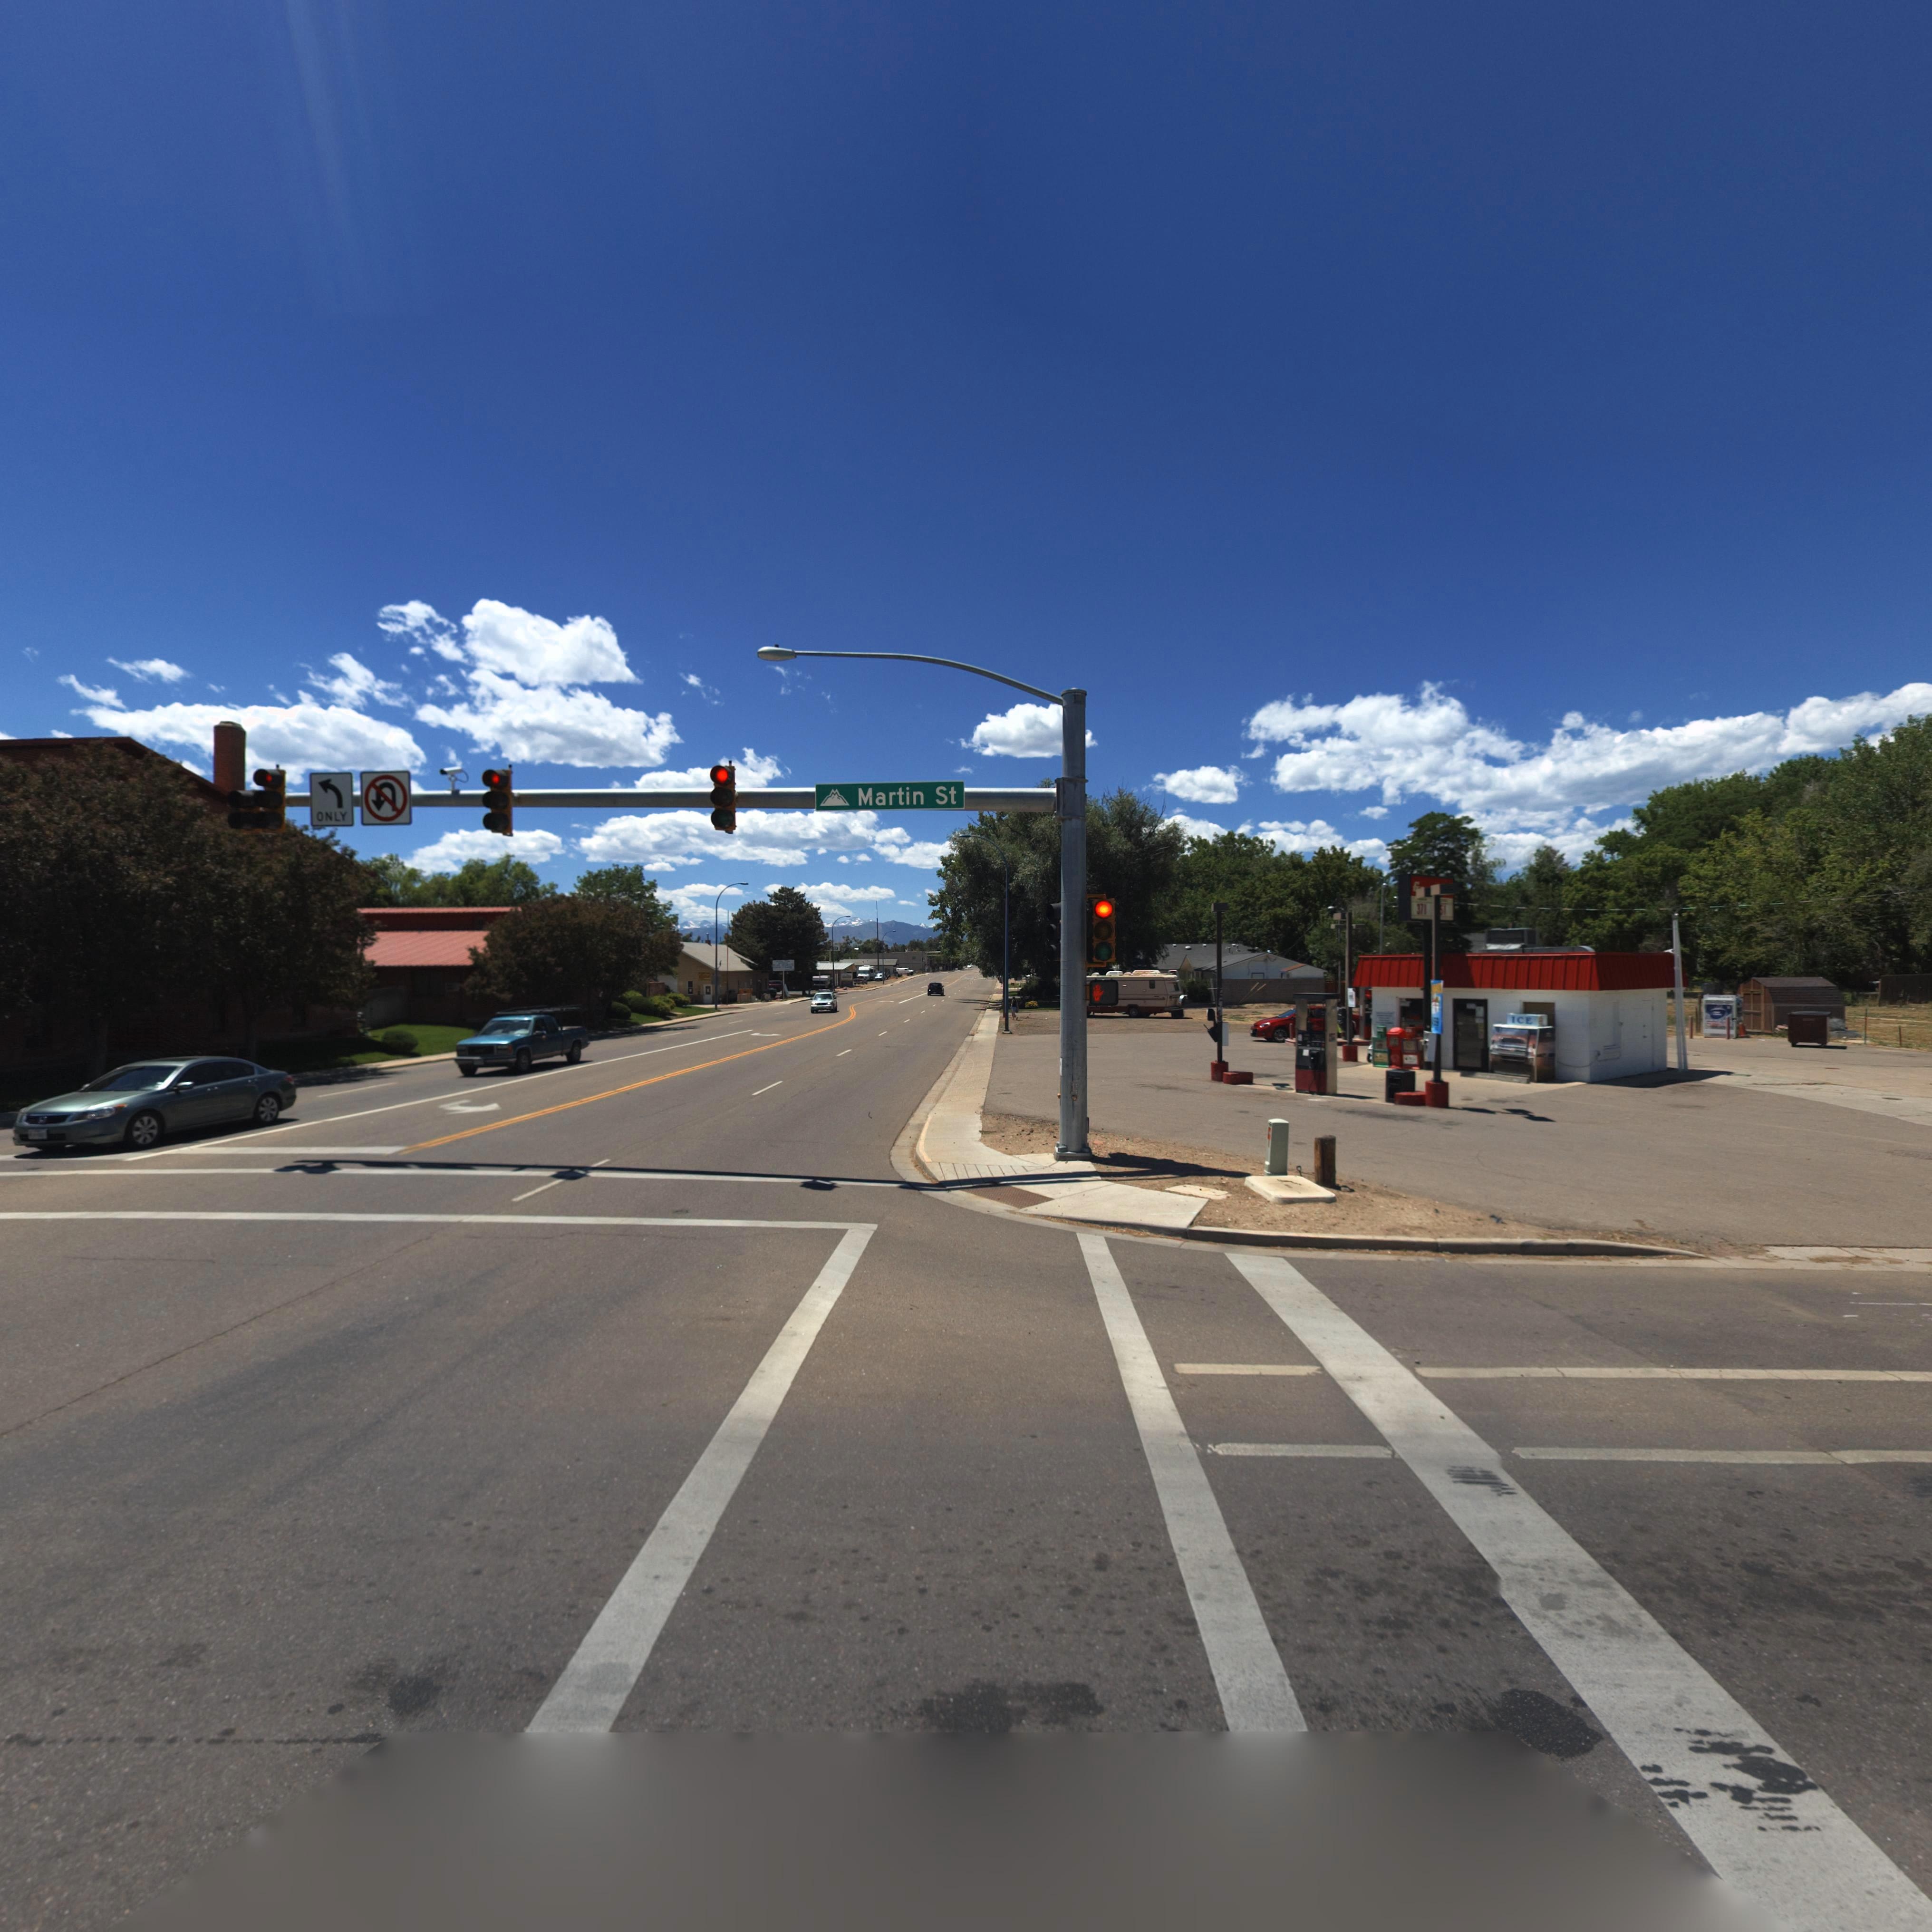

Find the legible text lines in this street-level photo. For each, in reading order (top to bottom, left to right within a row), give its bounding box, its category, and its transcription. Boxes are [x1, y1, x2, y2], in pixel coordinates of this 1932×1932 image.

[857, 785, 957, 806] StreetName: Martin St
[1412, 881, 1420, 892] BusinessName: G